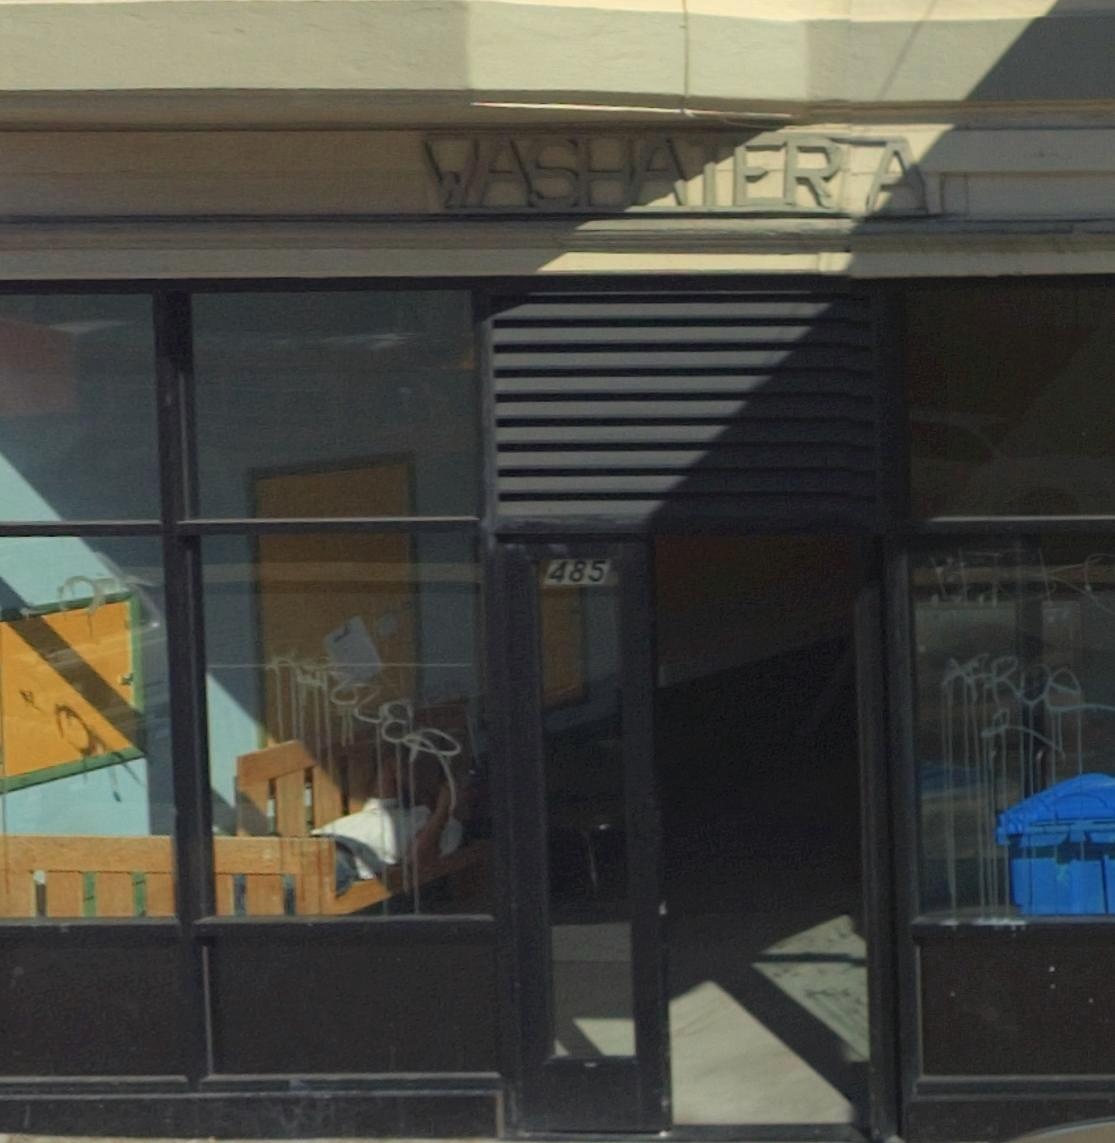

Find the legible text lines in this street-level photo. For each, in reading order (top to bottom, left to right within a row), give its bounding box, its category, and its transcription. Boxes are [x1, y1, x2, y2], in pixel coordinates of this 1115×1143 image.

[416, 138, 935, 213] BusinessName: WASHATER*A
[542, 559, 613, 585] StreetNumber: 485